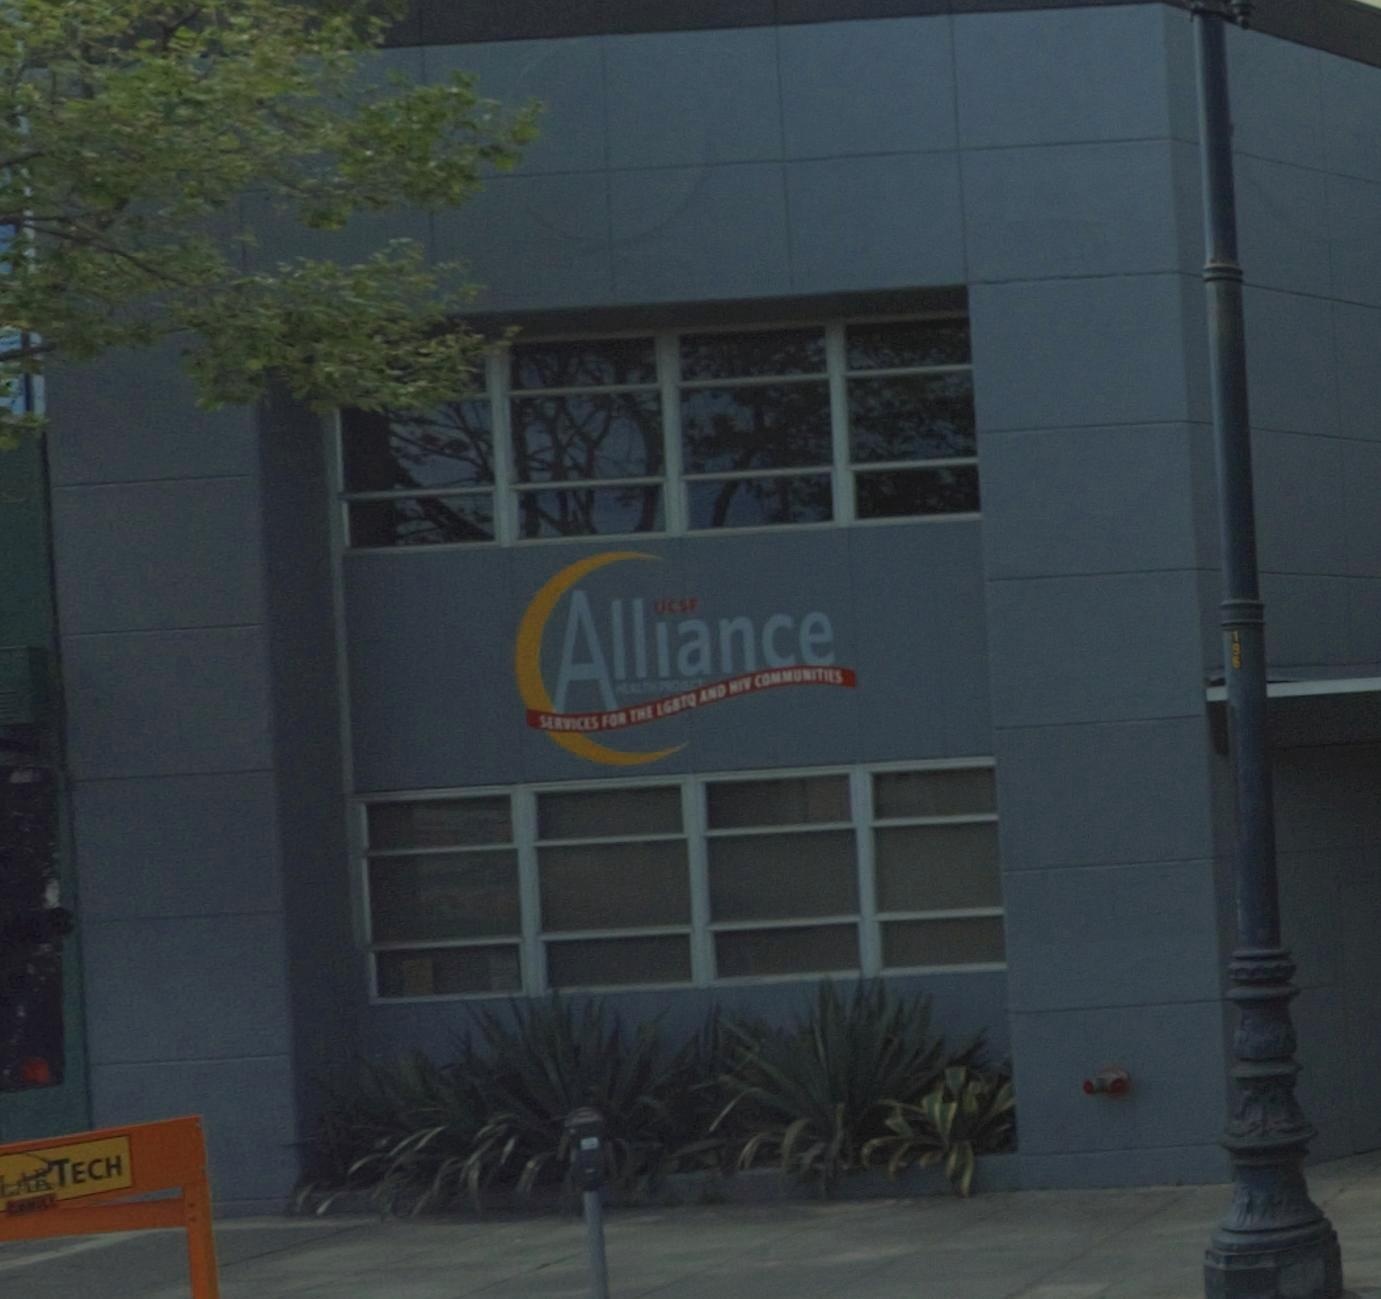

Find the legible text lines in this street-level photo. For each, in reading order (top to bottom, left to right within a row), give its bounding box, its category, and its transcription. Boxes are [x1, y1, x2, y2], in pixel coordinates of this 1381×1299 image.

[649, 595, 705, 621] BusinessName: UCSF
[546, 586, 841, 718] BusinessName: Alliance
[1229, 628, 1244, 672] None: 196
[535, 664, 848, 734] None: SERVICERS FOR THE LGST* AND *IV COMMUNITIES
[45, 1149, 126, 1191] BusinessName: TECH